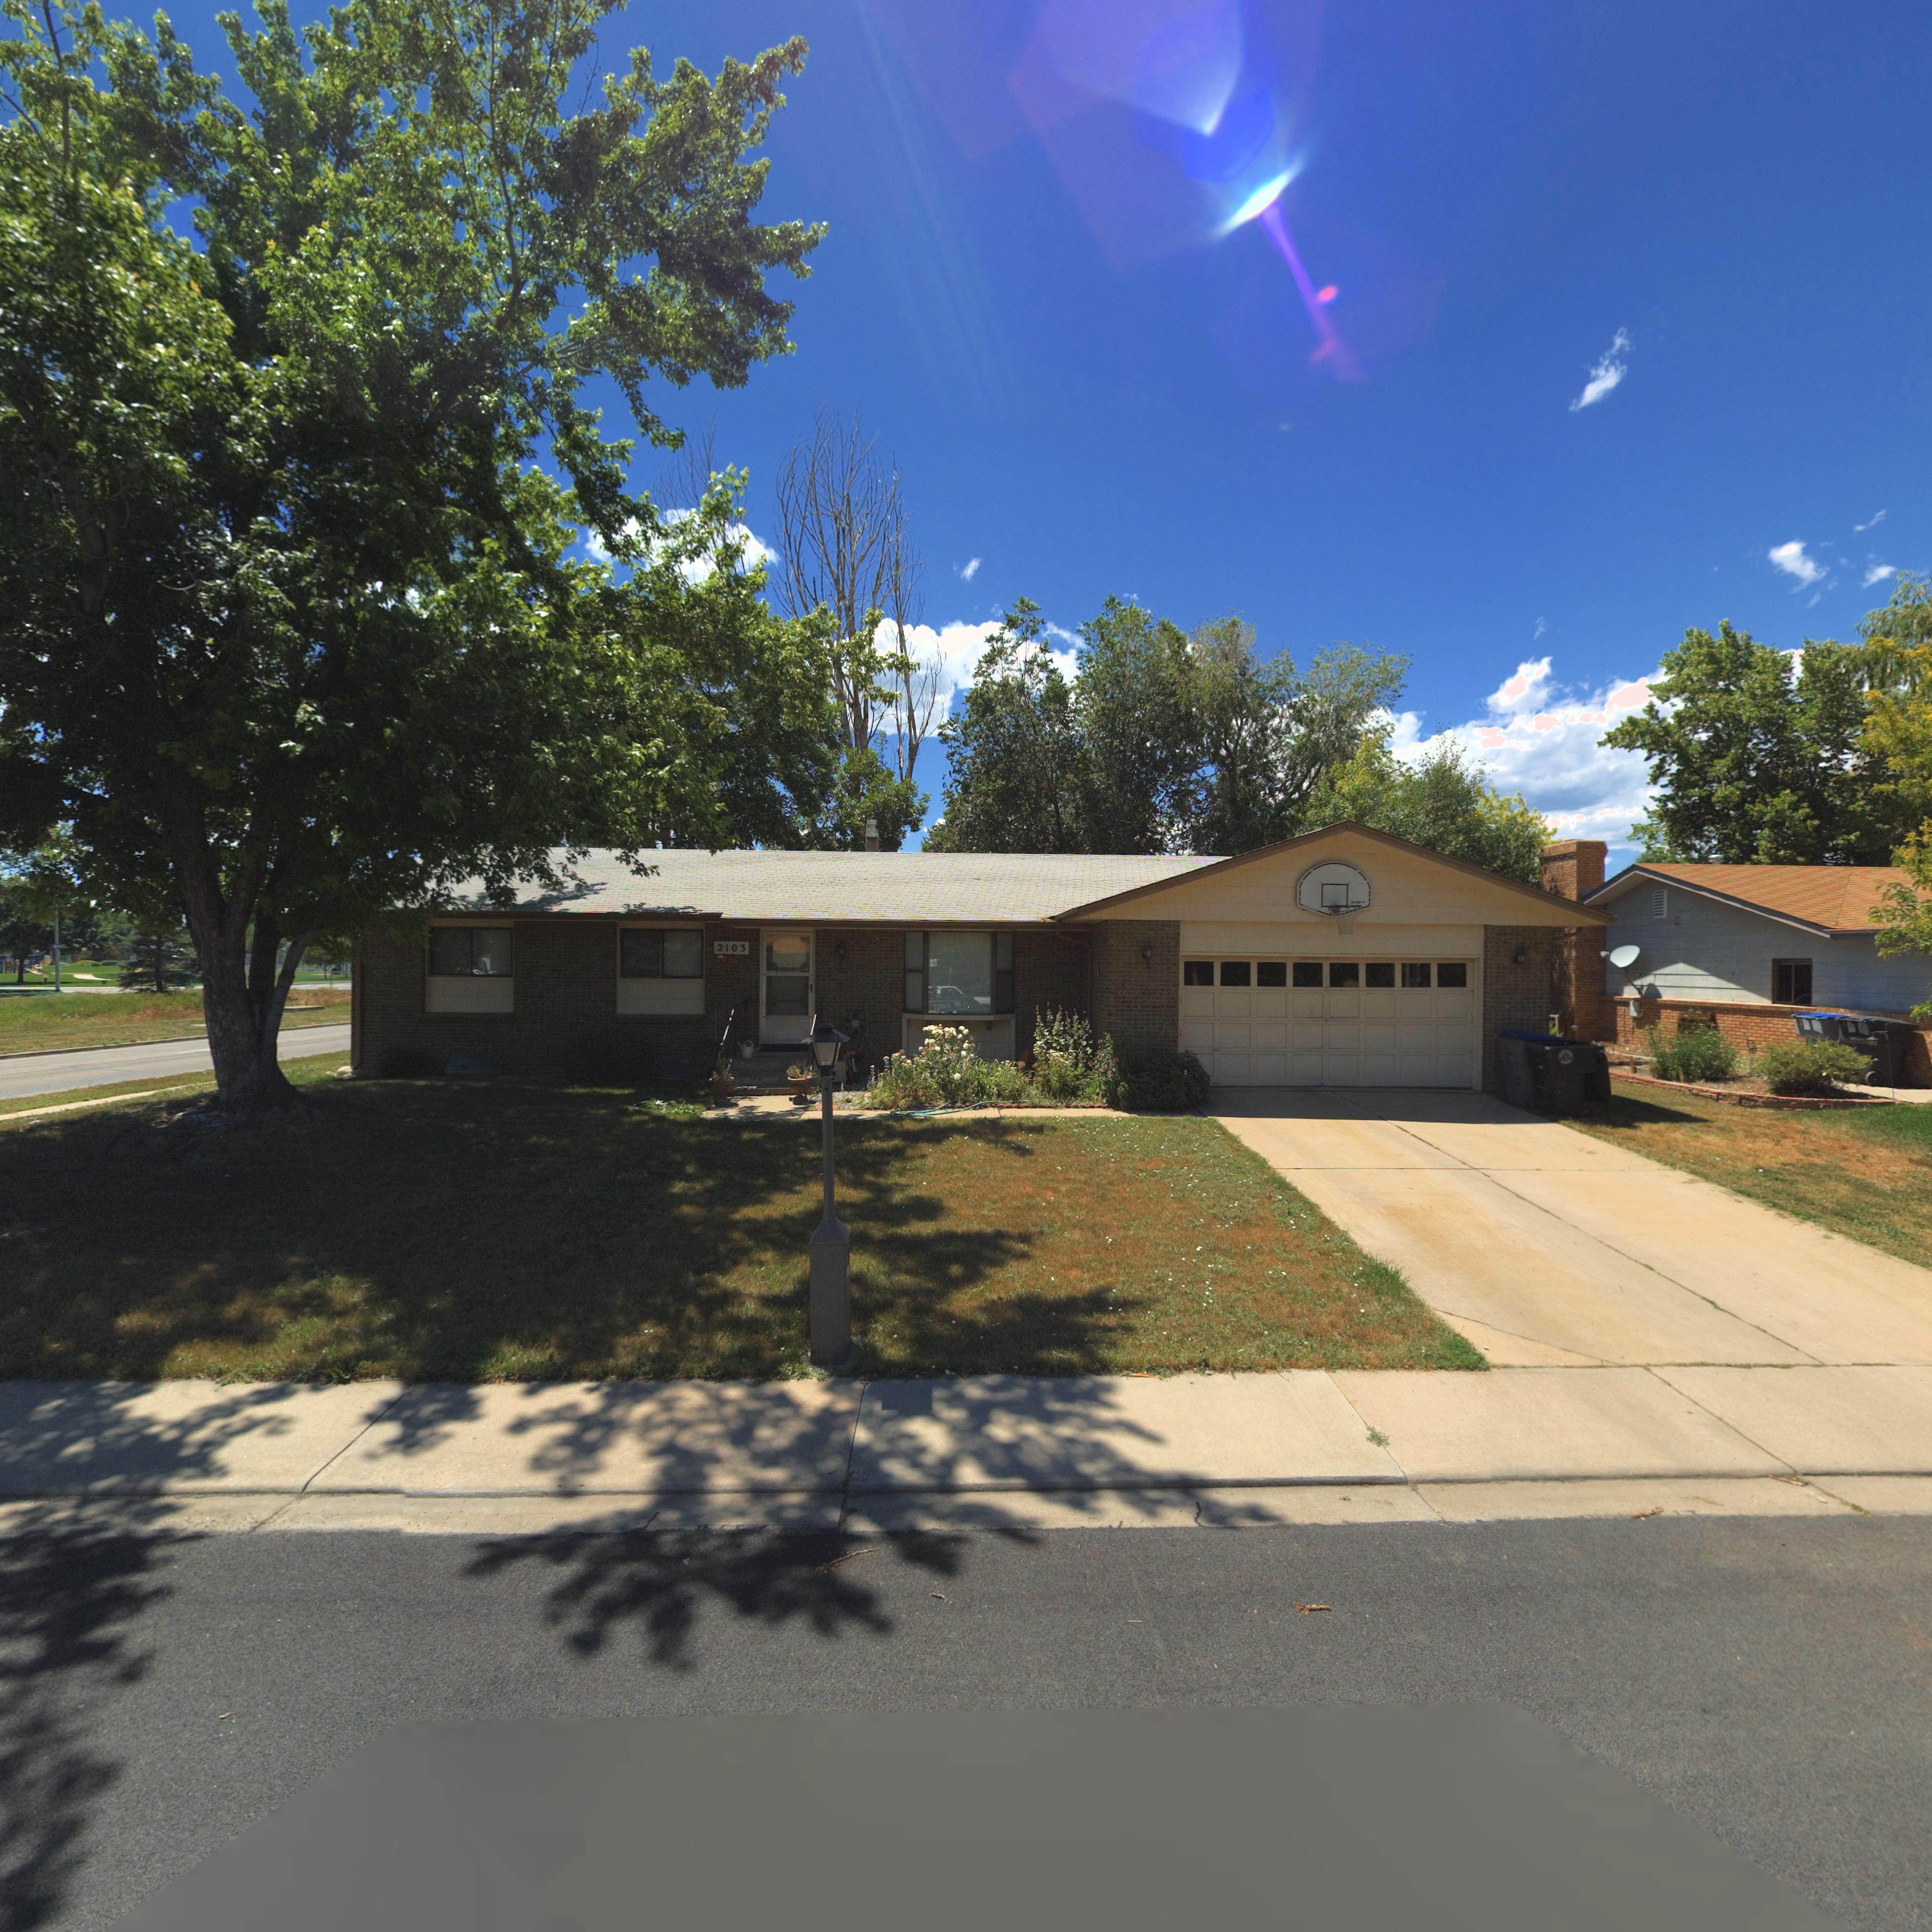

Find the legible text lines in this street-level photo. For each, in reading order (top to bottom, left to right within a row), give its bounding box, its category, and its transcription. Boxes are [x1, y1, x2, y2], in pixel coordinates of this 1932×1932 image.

[715, 944, 746, 952] StreetNumber: 2103